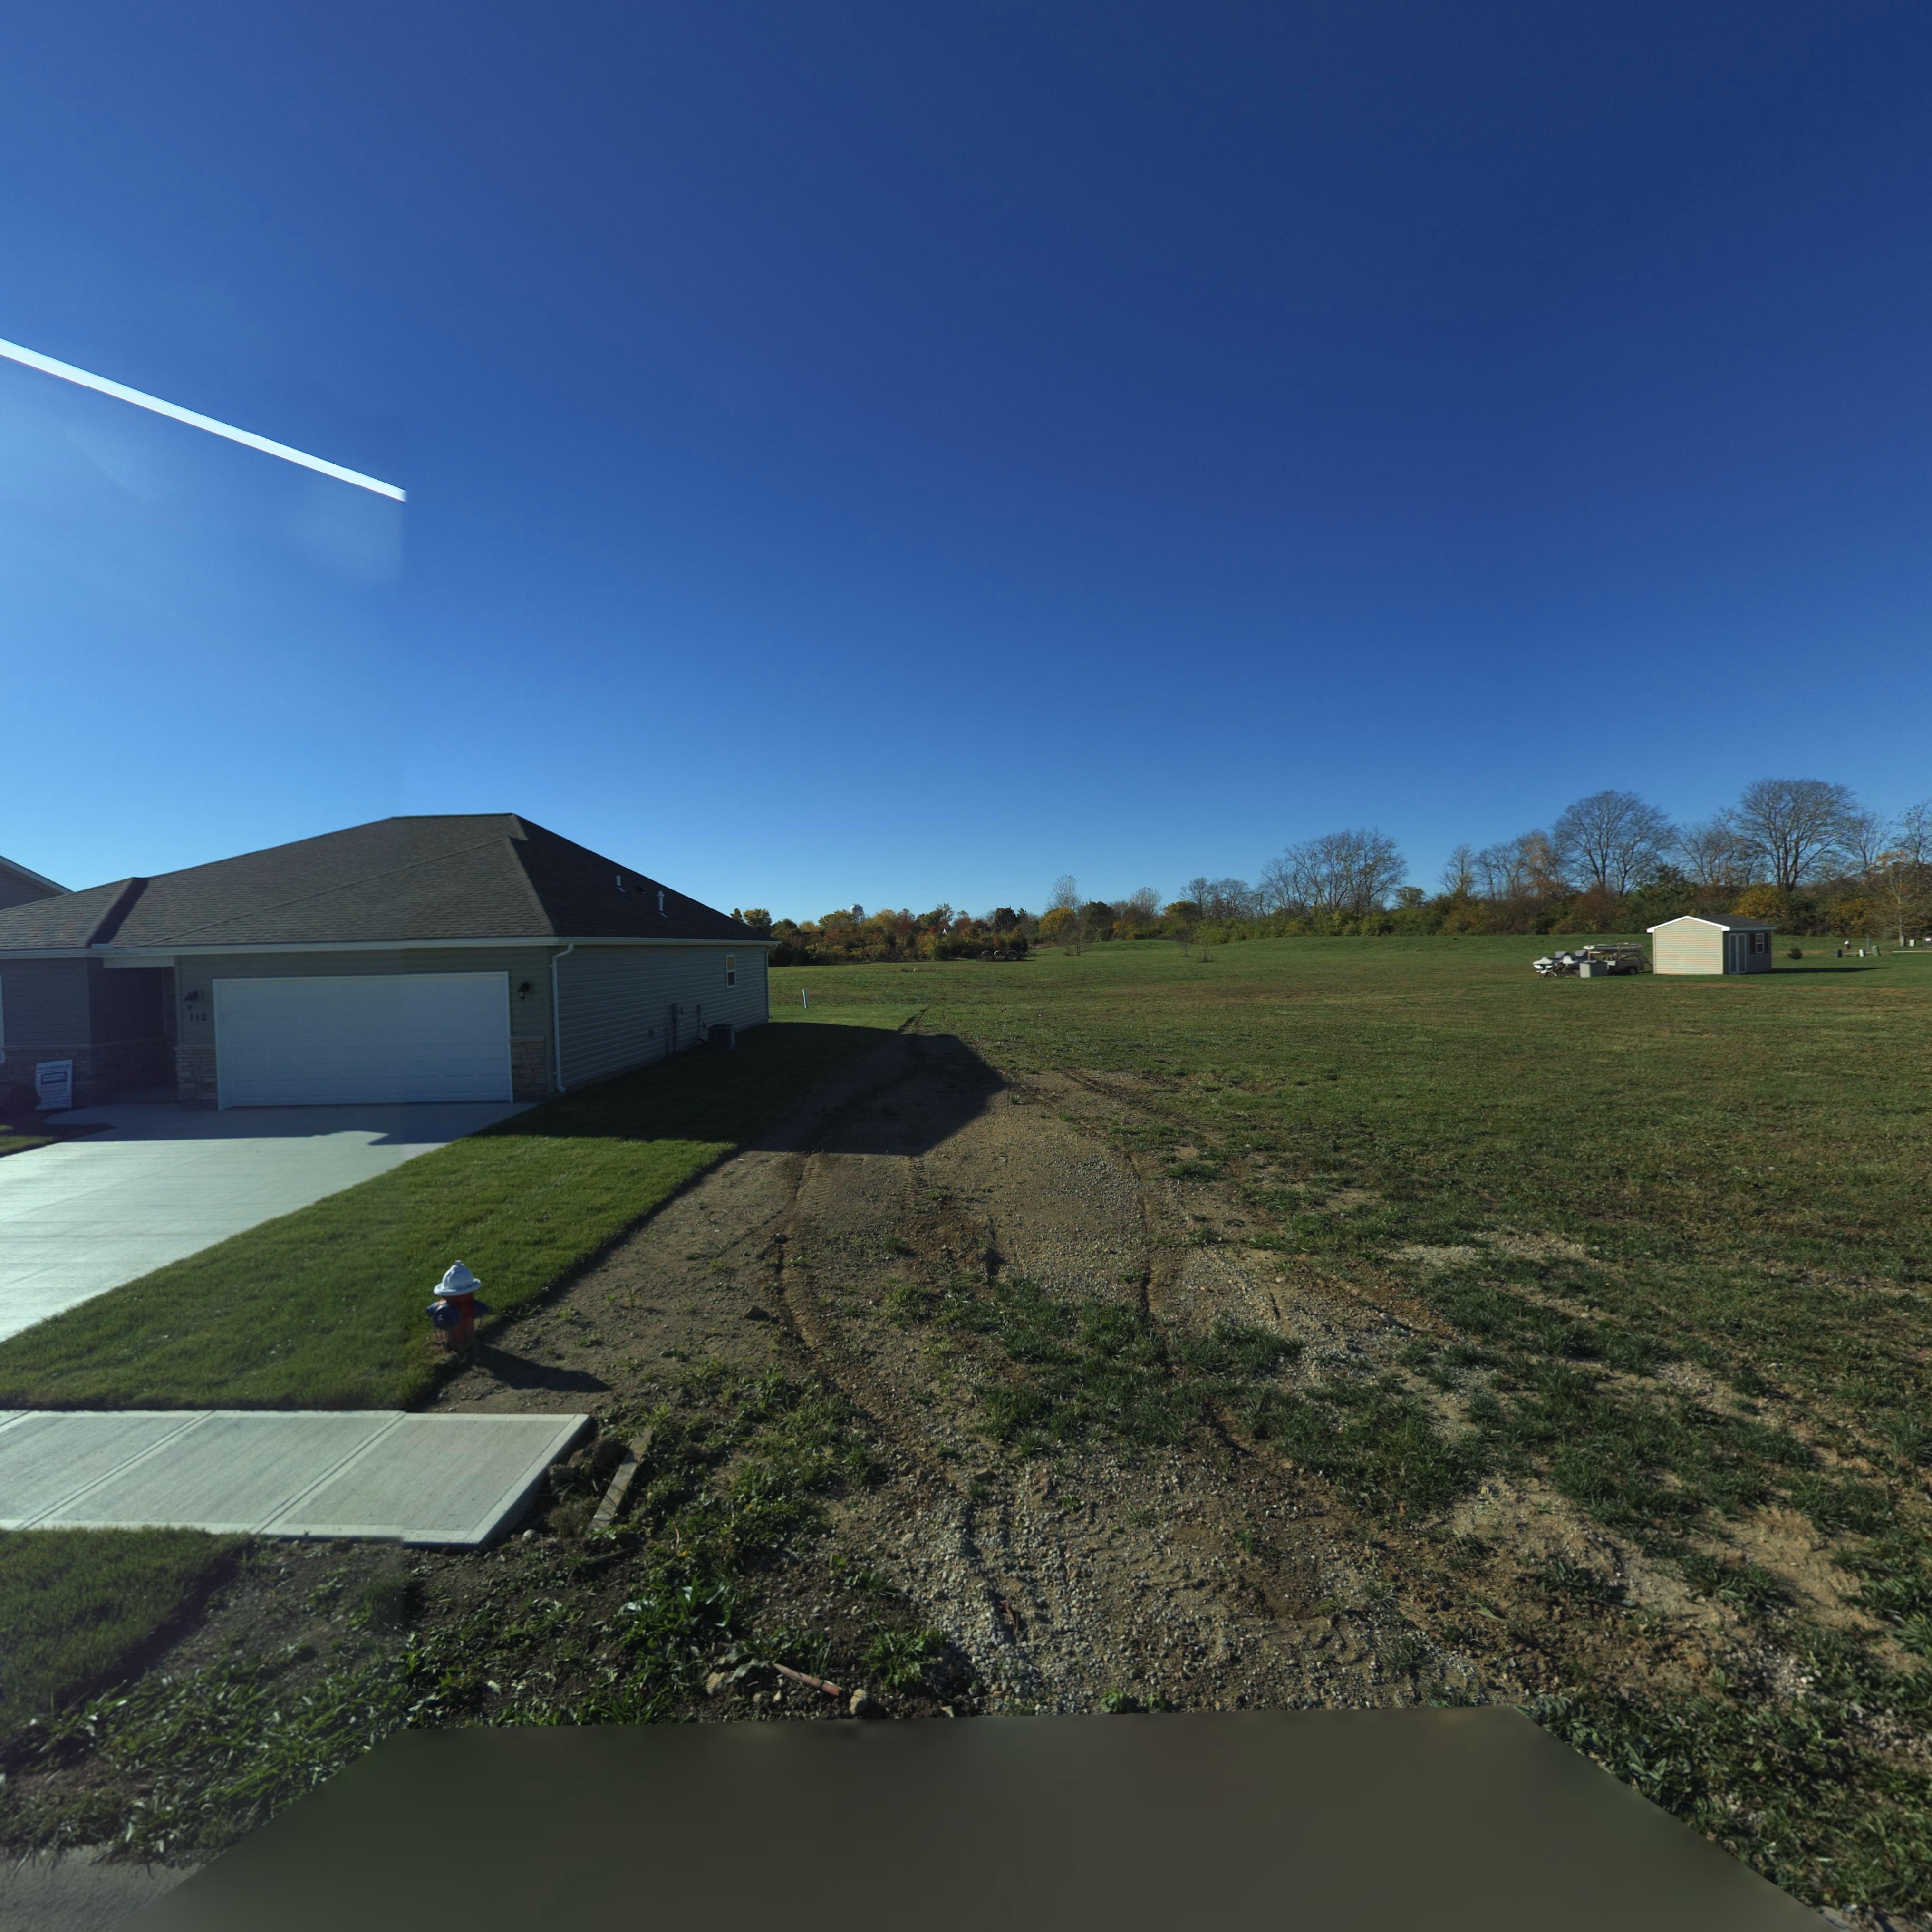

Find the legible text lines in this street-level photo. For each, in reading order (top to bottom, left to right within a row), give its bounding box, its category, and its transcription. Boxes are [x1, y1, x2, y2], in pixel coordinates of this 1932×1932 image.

[189, 1012, 207, 1021] StreetNumber: 112